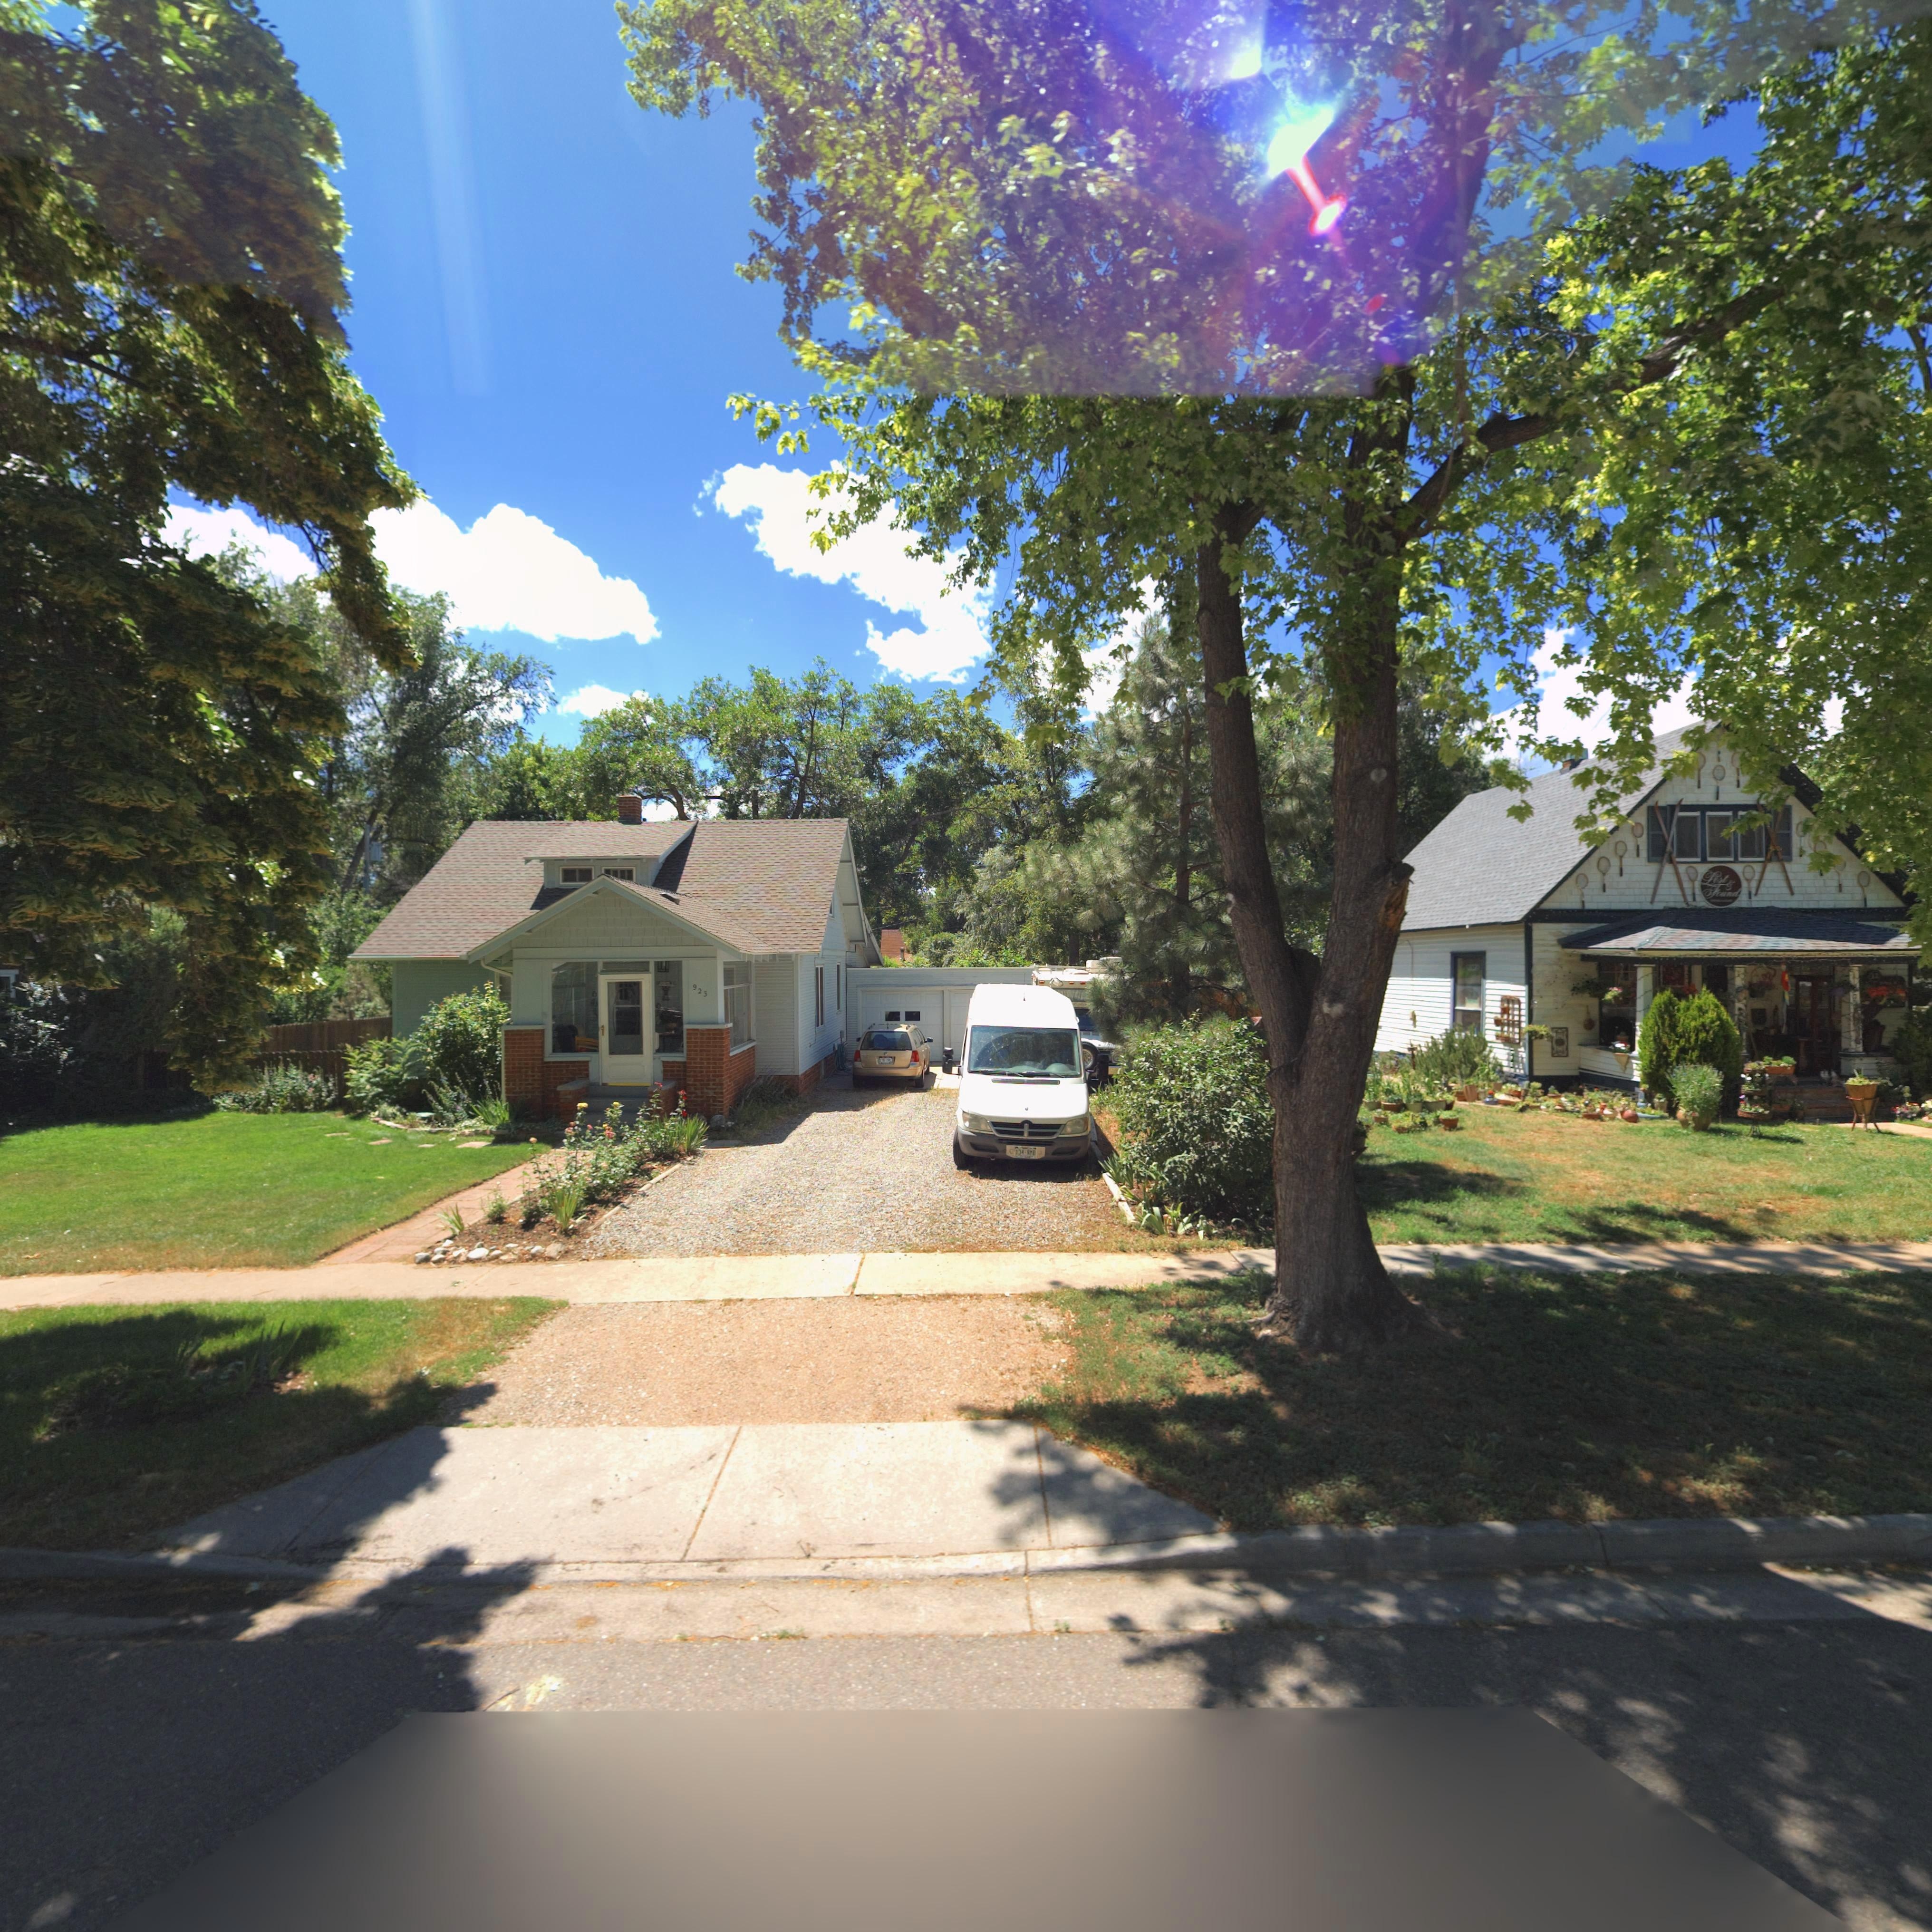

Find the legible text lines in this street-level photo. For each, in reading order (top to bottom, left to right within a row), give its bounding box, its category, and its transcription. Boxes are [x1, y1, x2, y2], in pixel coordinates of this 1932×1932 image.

[692, 983, 707, 997] StreetNumber: 923